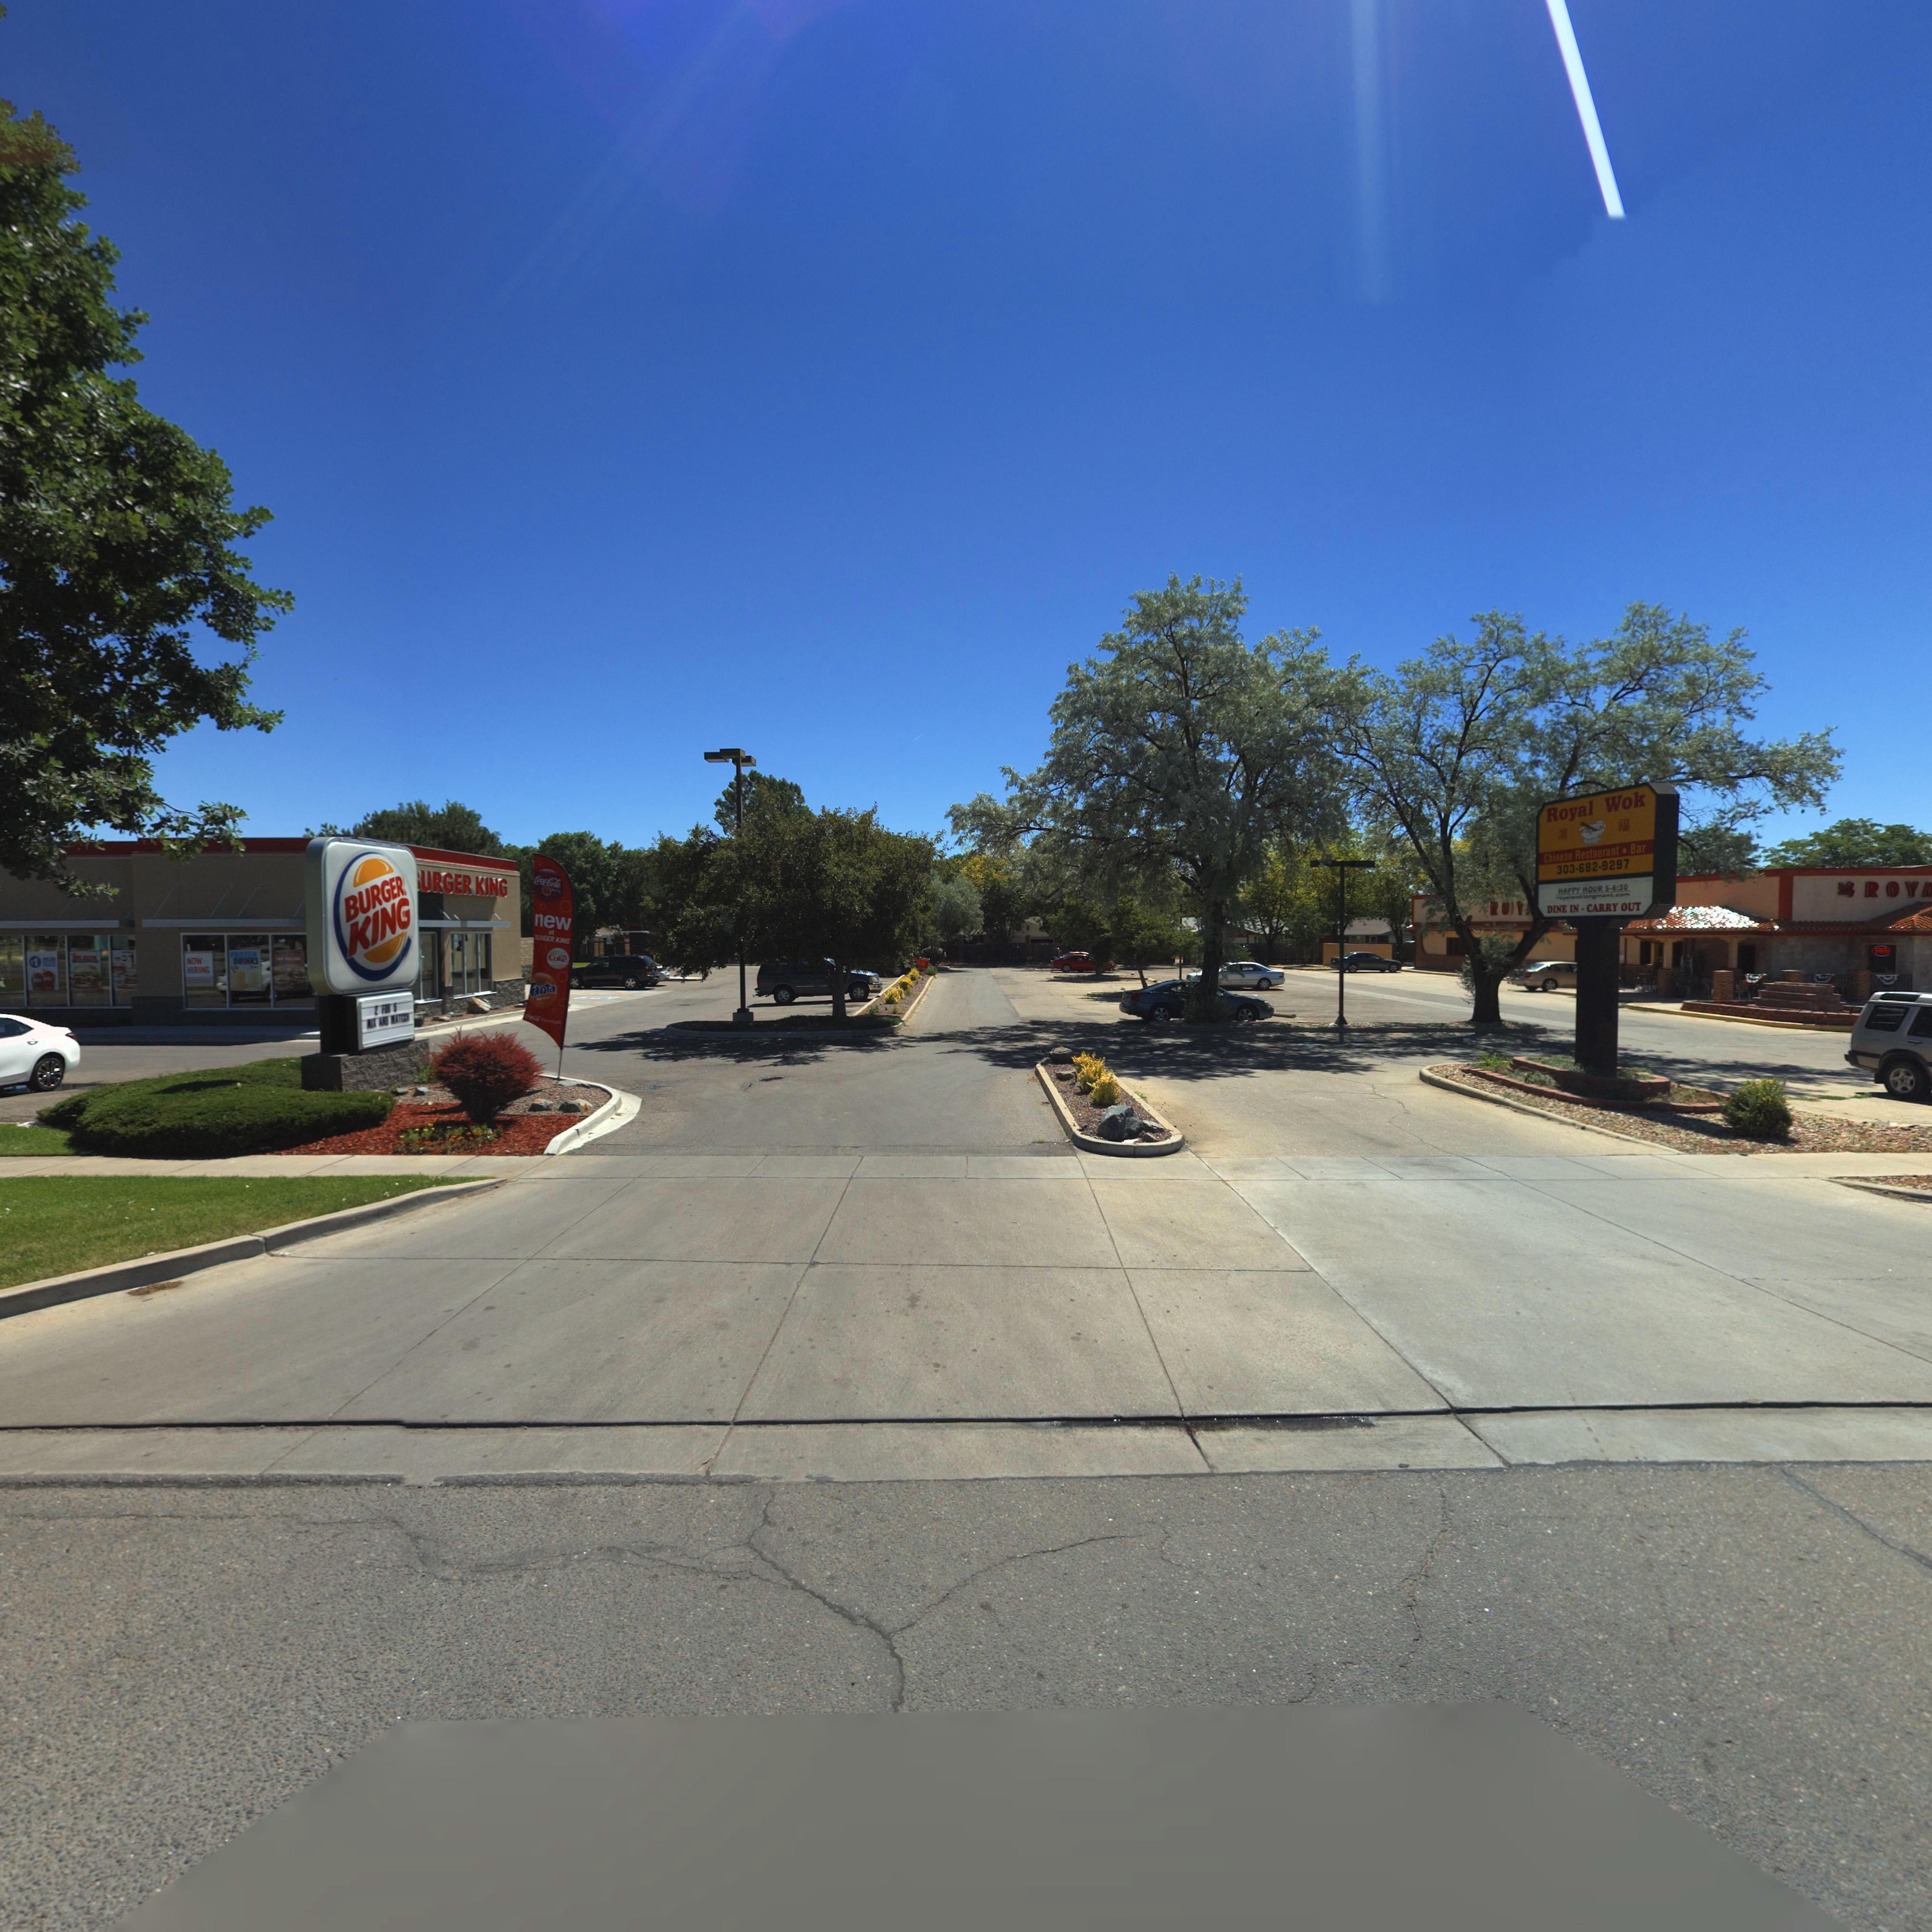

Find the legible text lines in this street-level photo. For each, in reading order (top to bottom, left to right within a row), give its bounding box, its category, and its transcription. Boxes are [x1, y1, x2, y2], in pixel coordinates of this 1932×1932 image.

[1546, 790, 1646, 823] StreetNumber: ROYAL WOK
[344, 875, 404, 924] BusinessName: BURGER
[420, 869, 508, 898] BusinessName: URGER KING
[1490, 898, 1509, 915] BusinessName: RO
[1865, 881, 1920, 898] BusinessName: ROY
[347, 897, 411, 959] BusinessName: KING